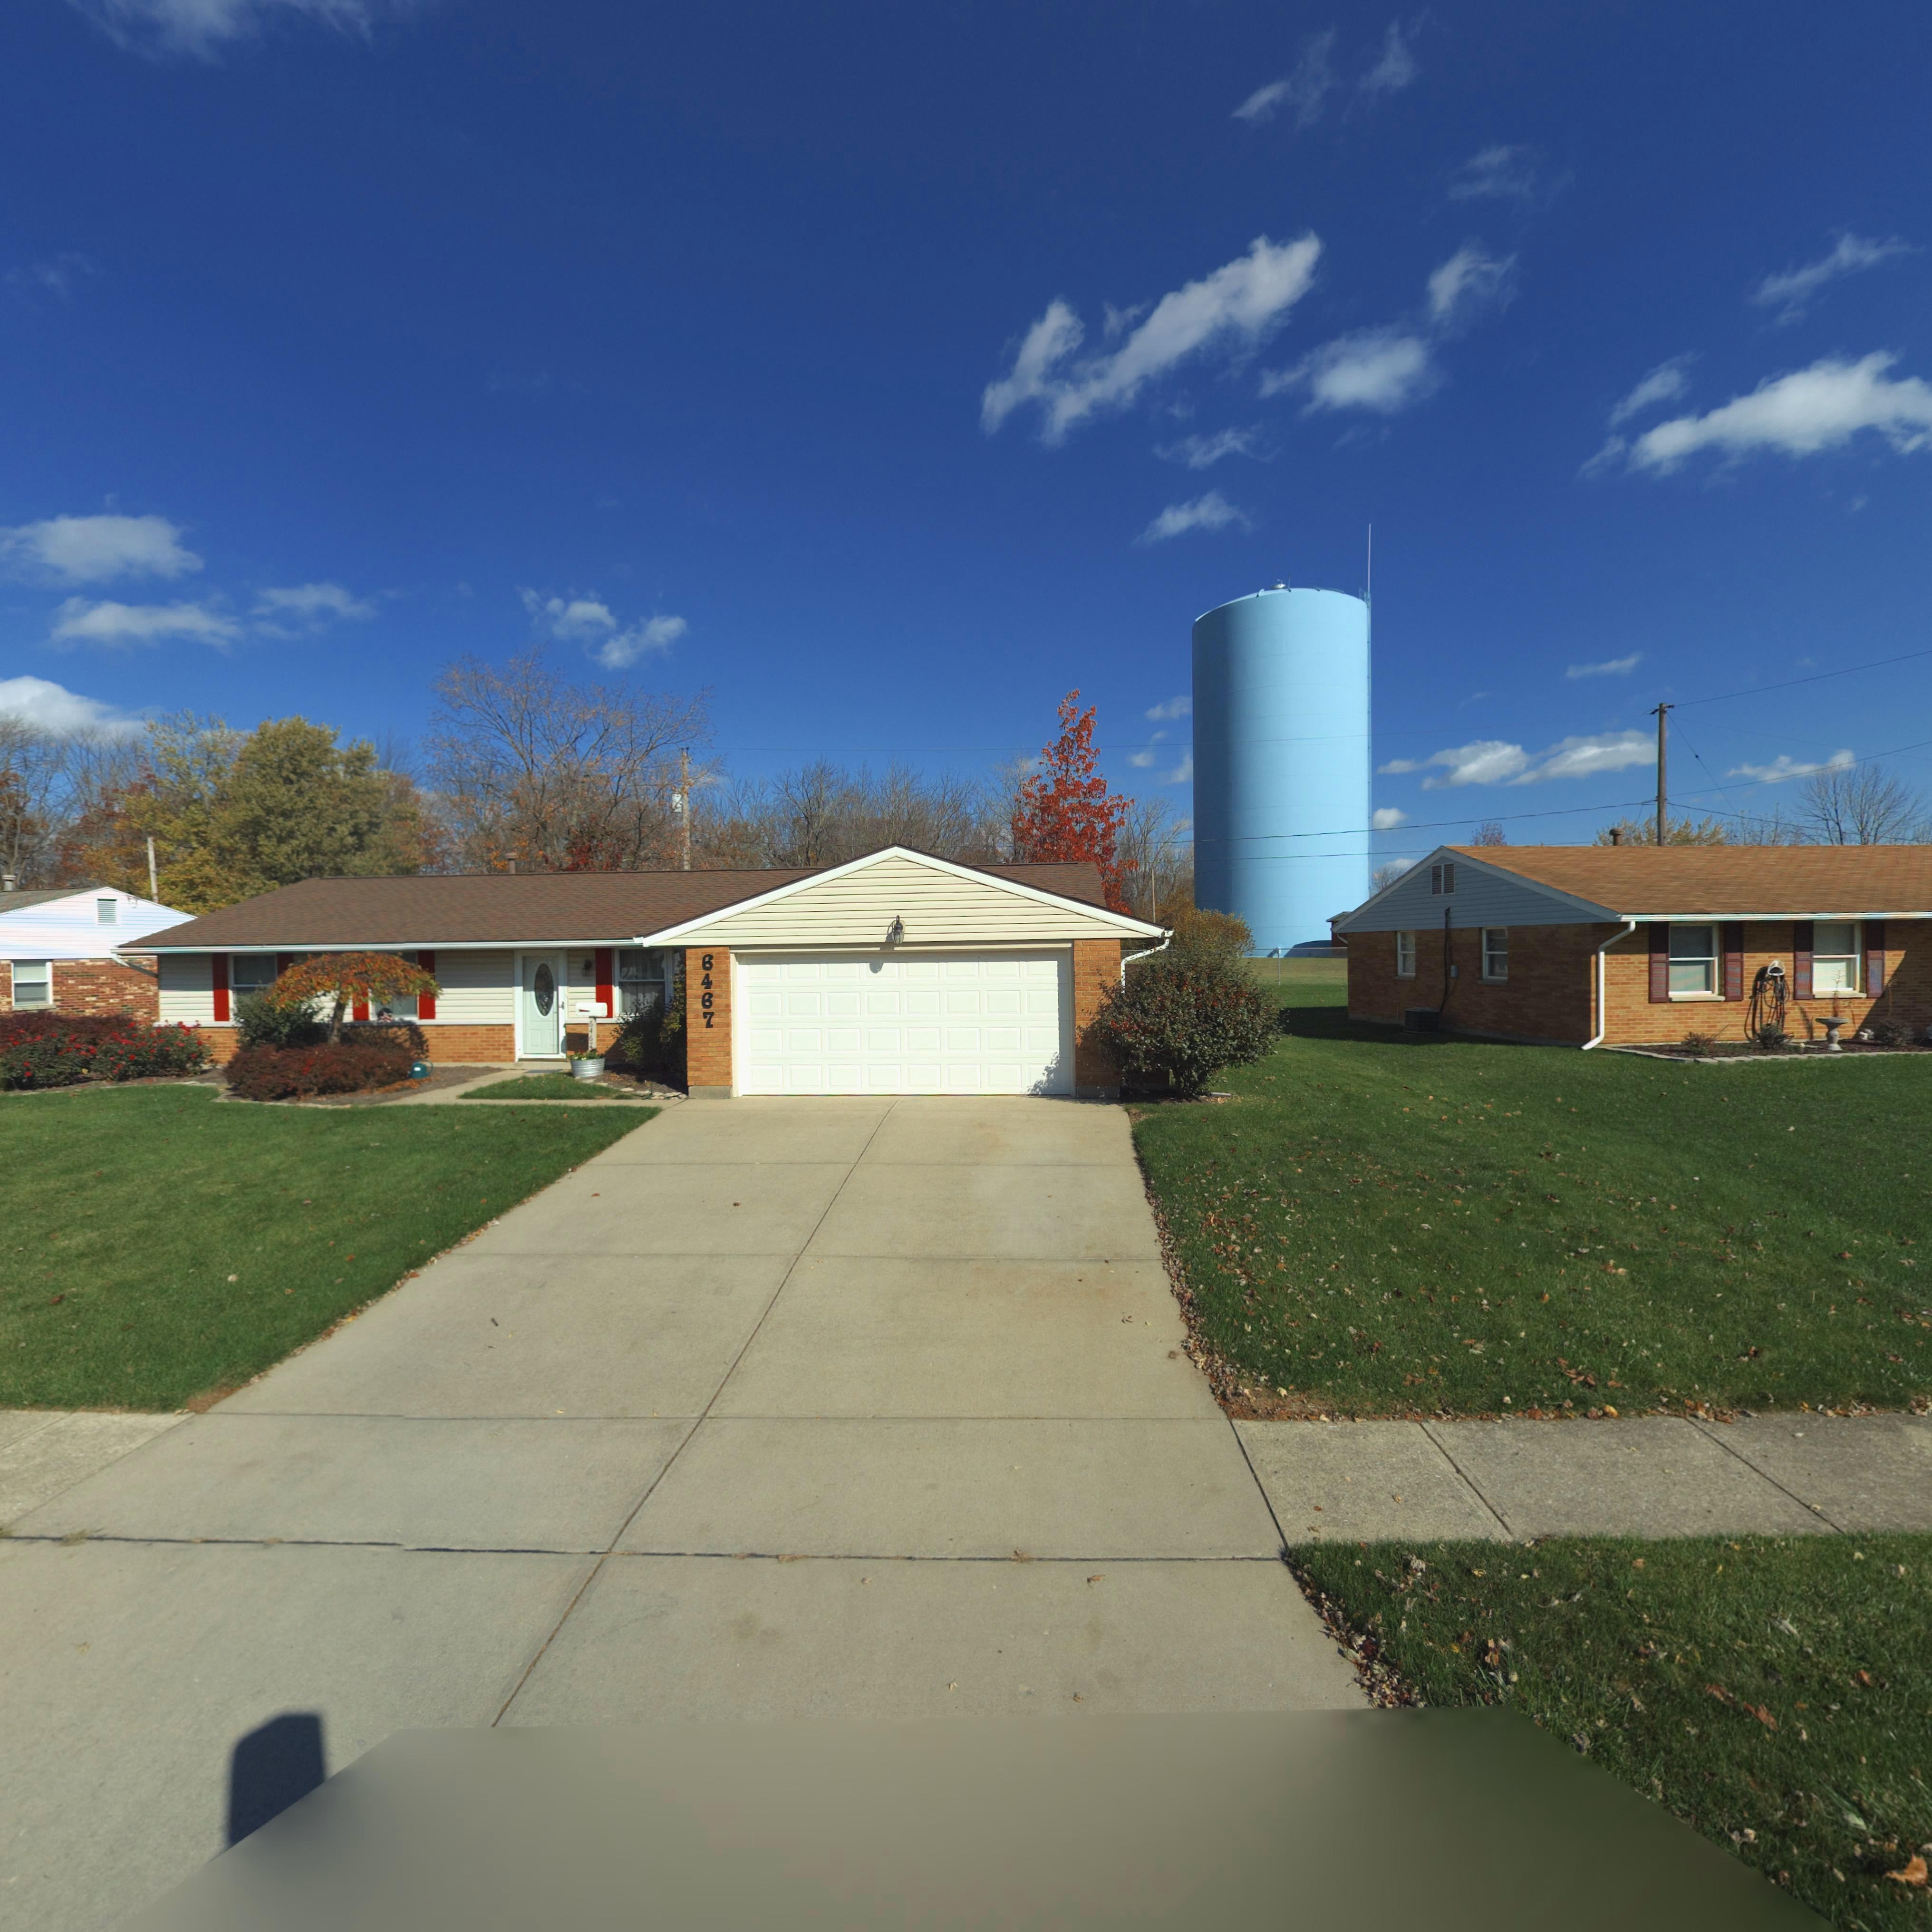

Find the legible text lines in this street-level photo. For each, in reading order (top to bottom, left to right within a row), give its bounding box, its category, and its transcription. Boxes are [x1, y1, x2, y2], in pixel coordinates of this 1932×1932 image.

[701, 953, 715, 1029] StreetNumber: 6467
[589, 1020, 594, 1050] StreetNumber: 6467